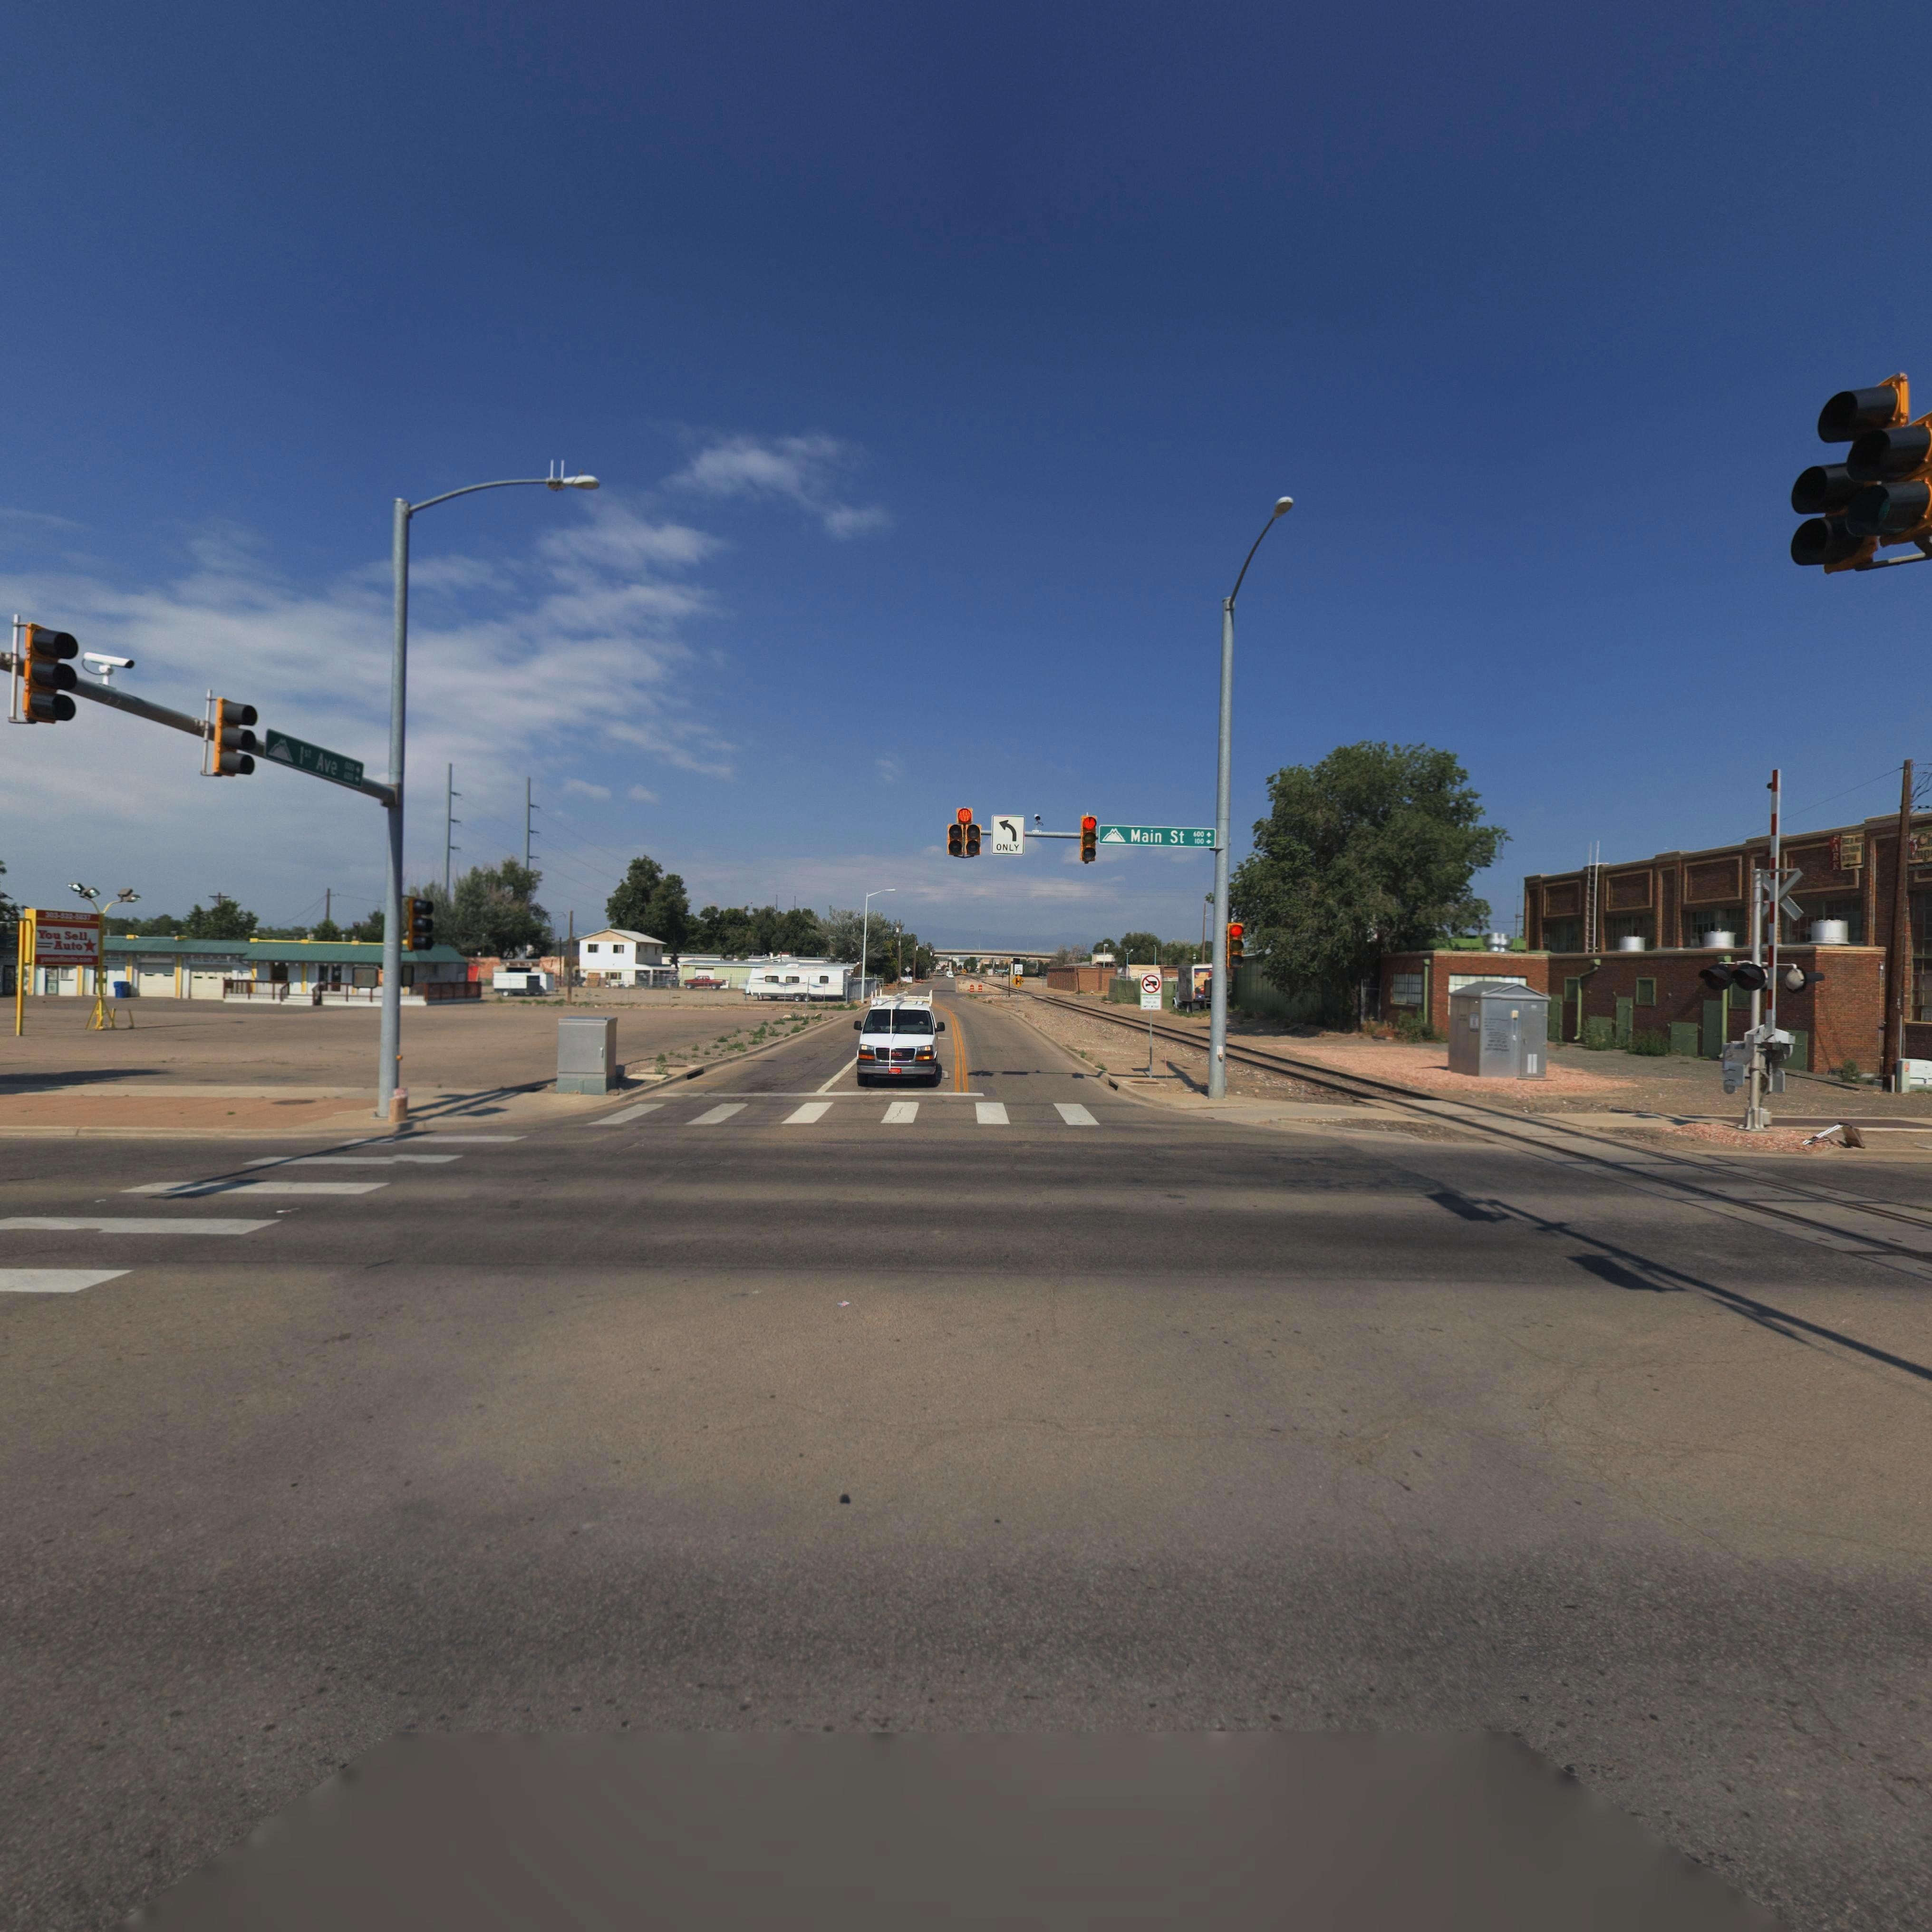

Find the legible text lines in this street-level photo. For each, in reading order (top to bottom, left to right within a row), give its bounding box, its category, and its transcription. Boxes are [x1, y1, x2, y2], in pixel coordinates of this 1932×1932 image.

[299, 745, 338, 775] StreetName: 1st Ave
[343, 761, 355, 772] StreetNumberRange: 600
[343, 771, 359, 782] StreetNumberRange: **0 ->
[1130, 828, 1185, 844] StreetName: Main St
[1192, 831, 1204, 837] StreetNumberRange: 600
[1194, 838, 1212, 844] StreetNumberRange:  100 ->
[37, 929, 87, 940] BusinessName: You Sell
[53, 940, 83, 950] BusinessName: Auto